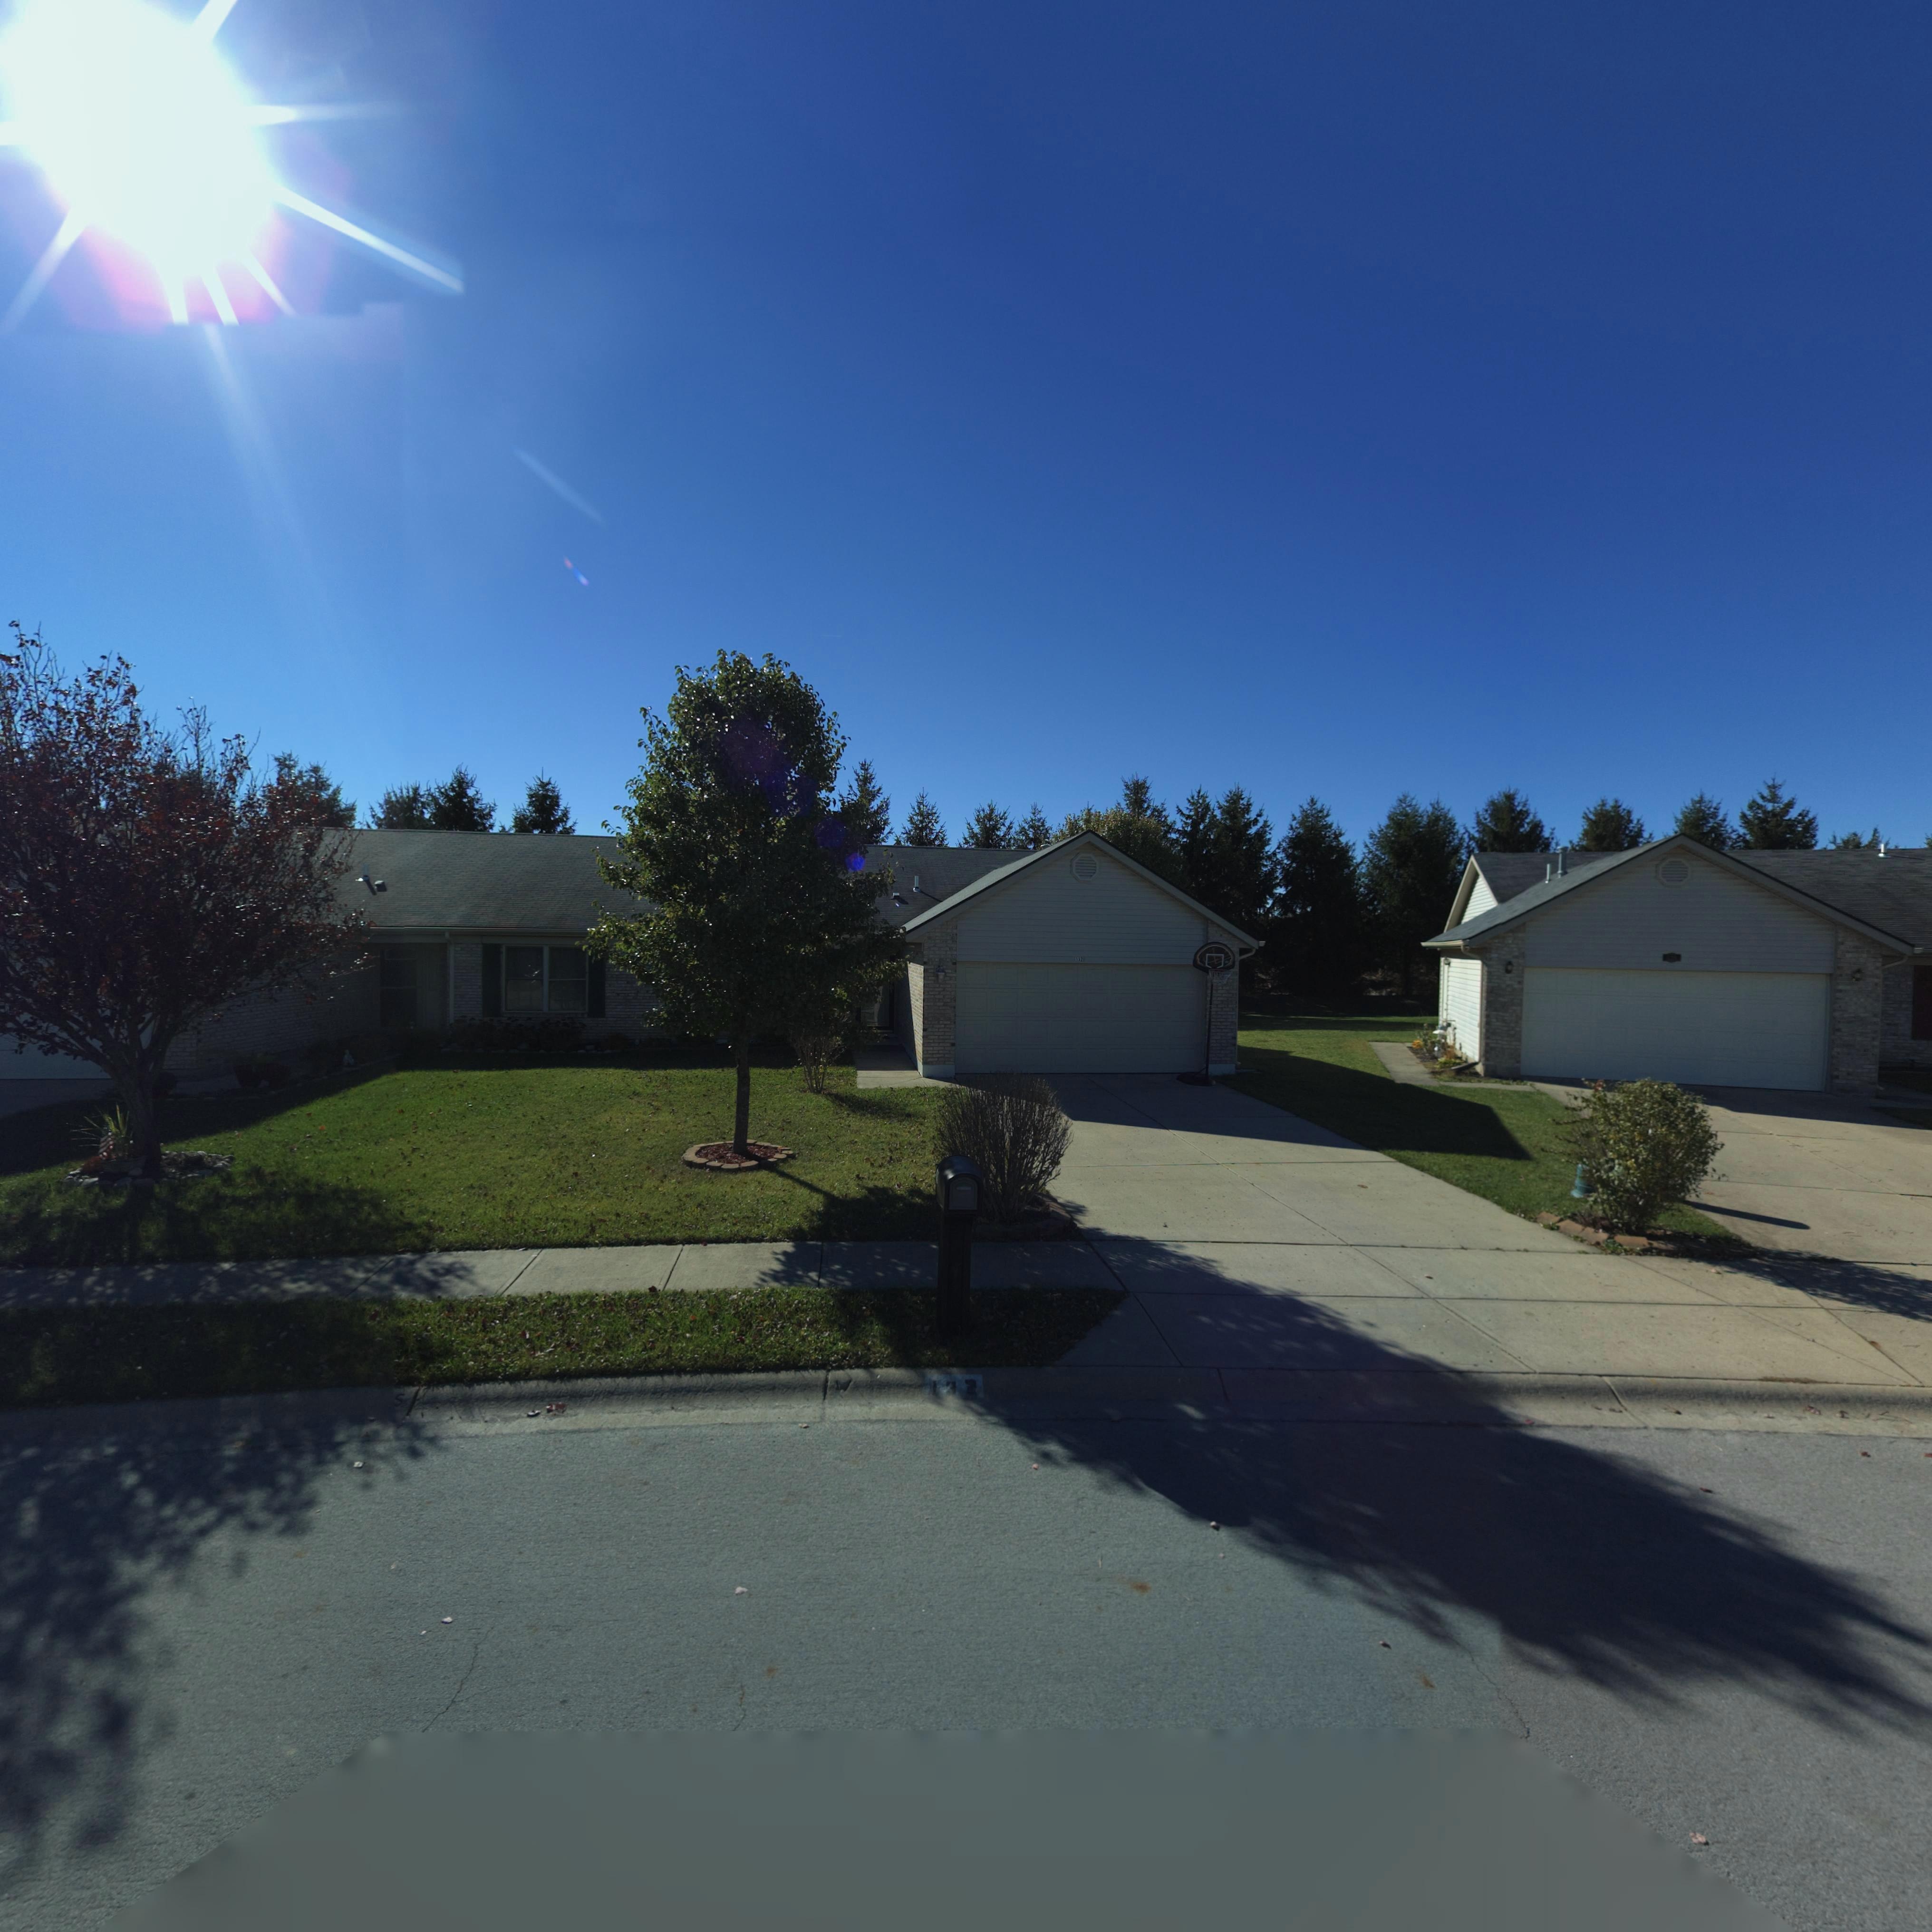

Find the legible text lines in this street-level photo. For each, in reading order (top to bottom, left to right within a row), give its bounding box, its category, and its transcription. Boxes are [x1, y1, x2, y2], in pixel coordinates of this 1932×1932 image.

[1075, 956, 1083, 962] StreetNumber: 132
[930, 1379, 977, 1397] StreetNumber: 132